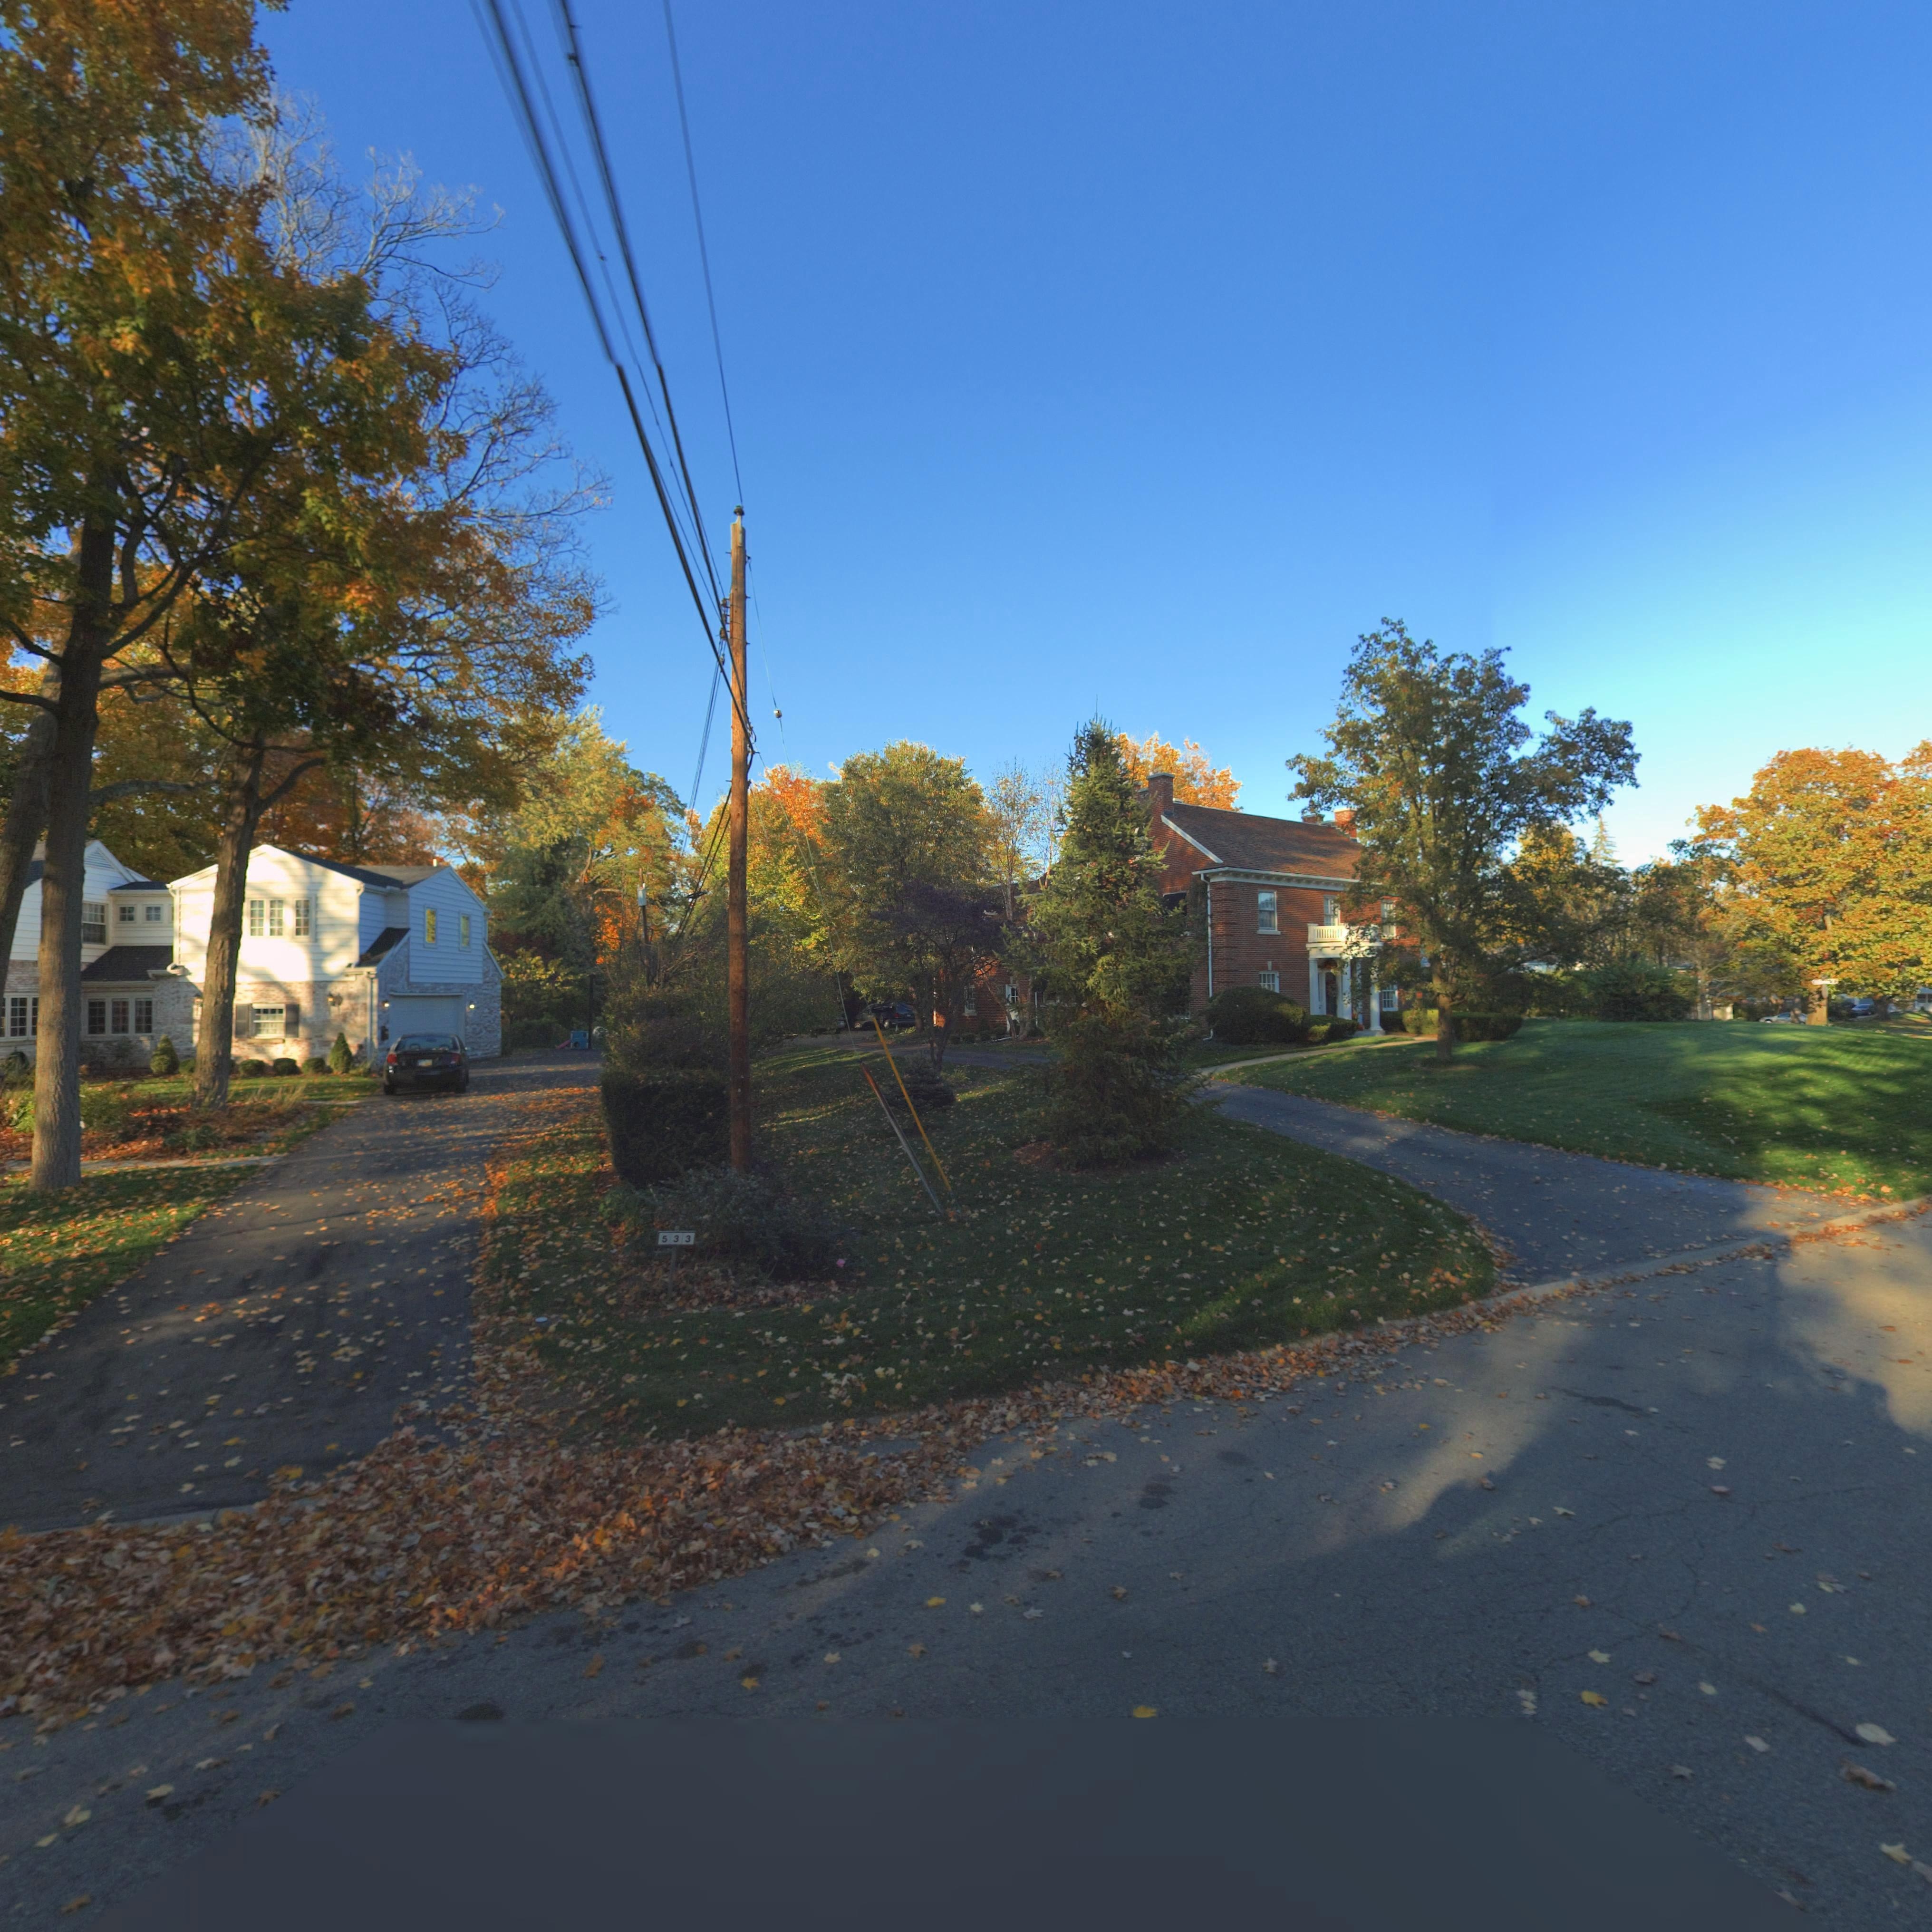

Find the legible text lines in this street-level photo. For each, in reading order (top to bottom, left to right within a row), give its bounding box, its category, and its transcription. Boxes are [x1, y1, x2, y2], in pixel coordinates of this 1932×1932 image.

[661, 1234, 692, 1244] StreetNumber: 533